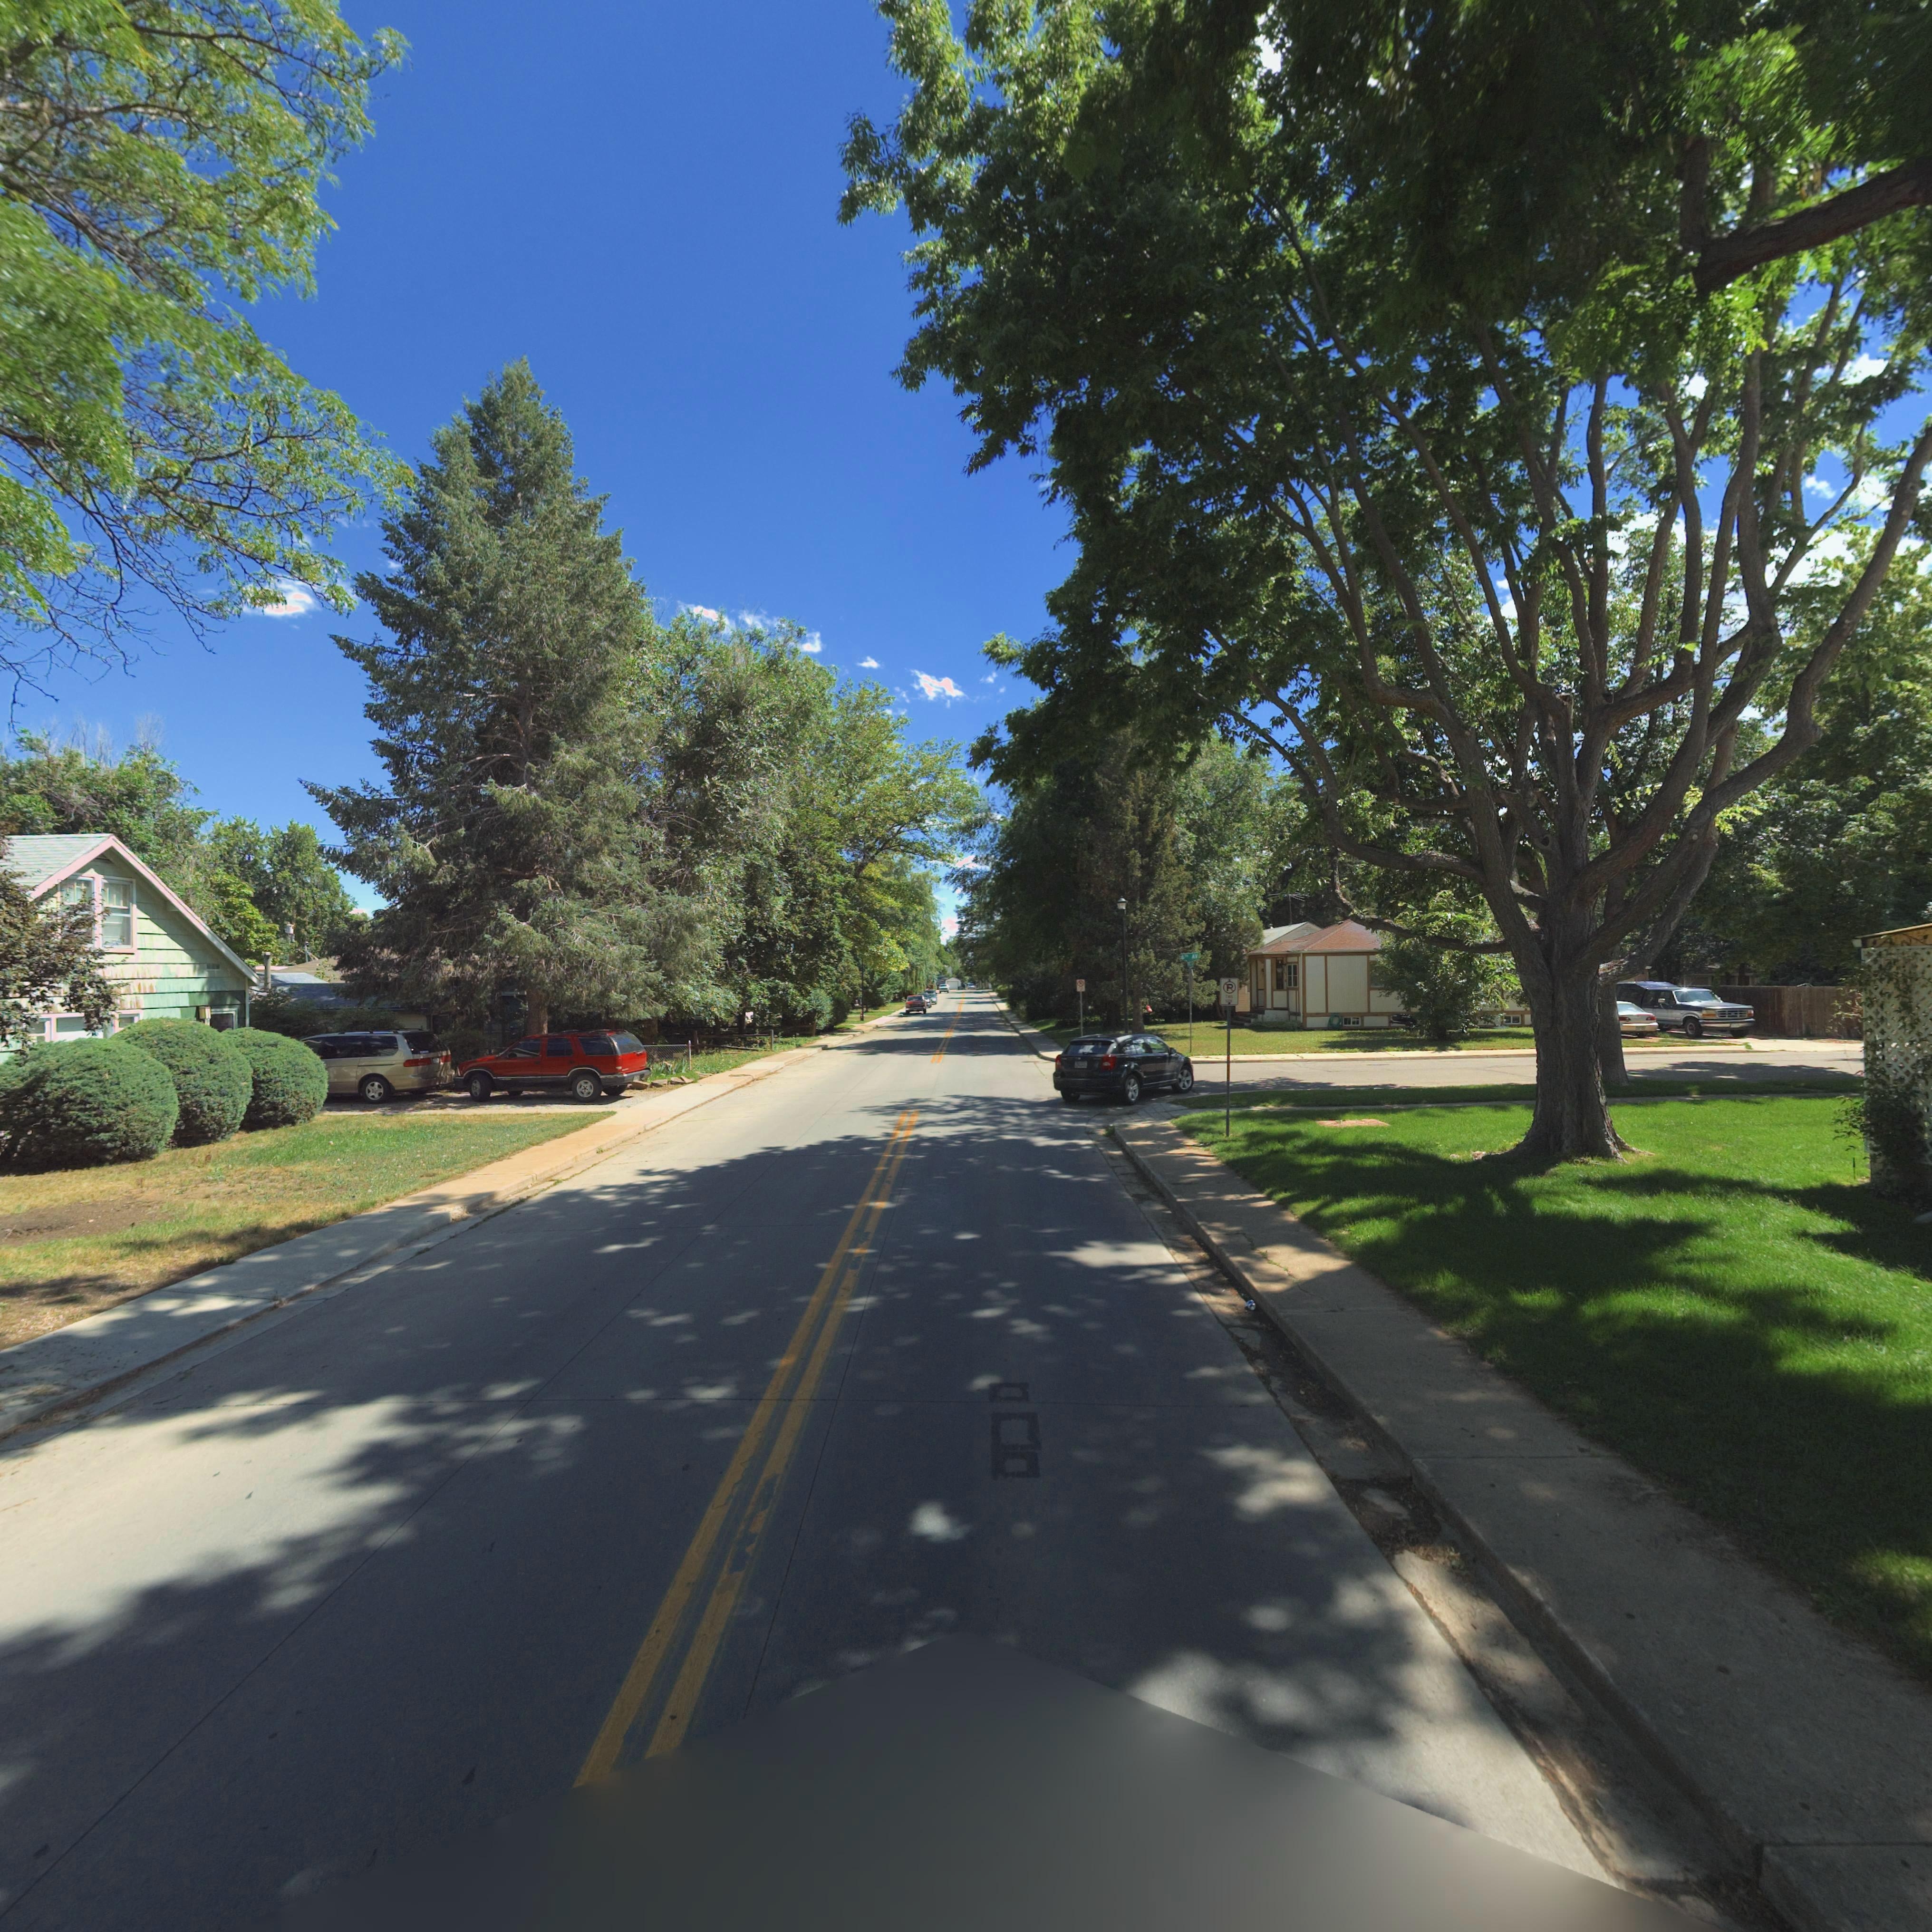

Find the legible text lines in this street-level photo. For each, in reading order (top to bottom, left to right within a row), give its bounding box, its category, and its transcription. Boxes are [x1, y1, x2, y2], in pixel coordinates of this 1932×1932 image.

[1181, 953, 1198, 959] StreetName: 6** AV